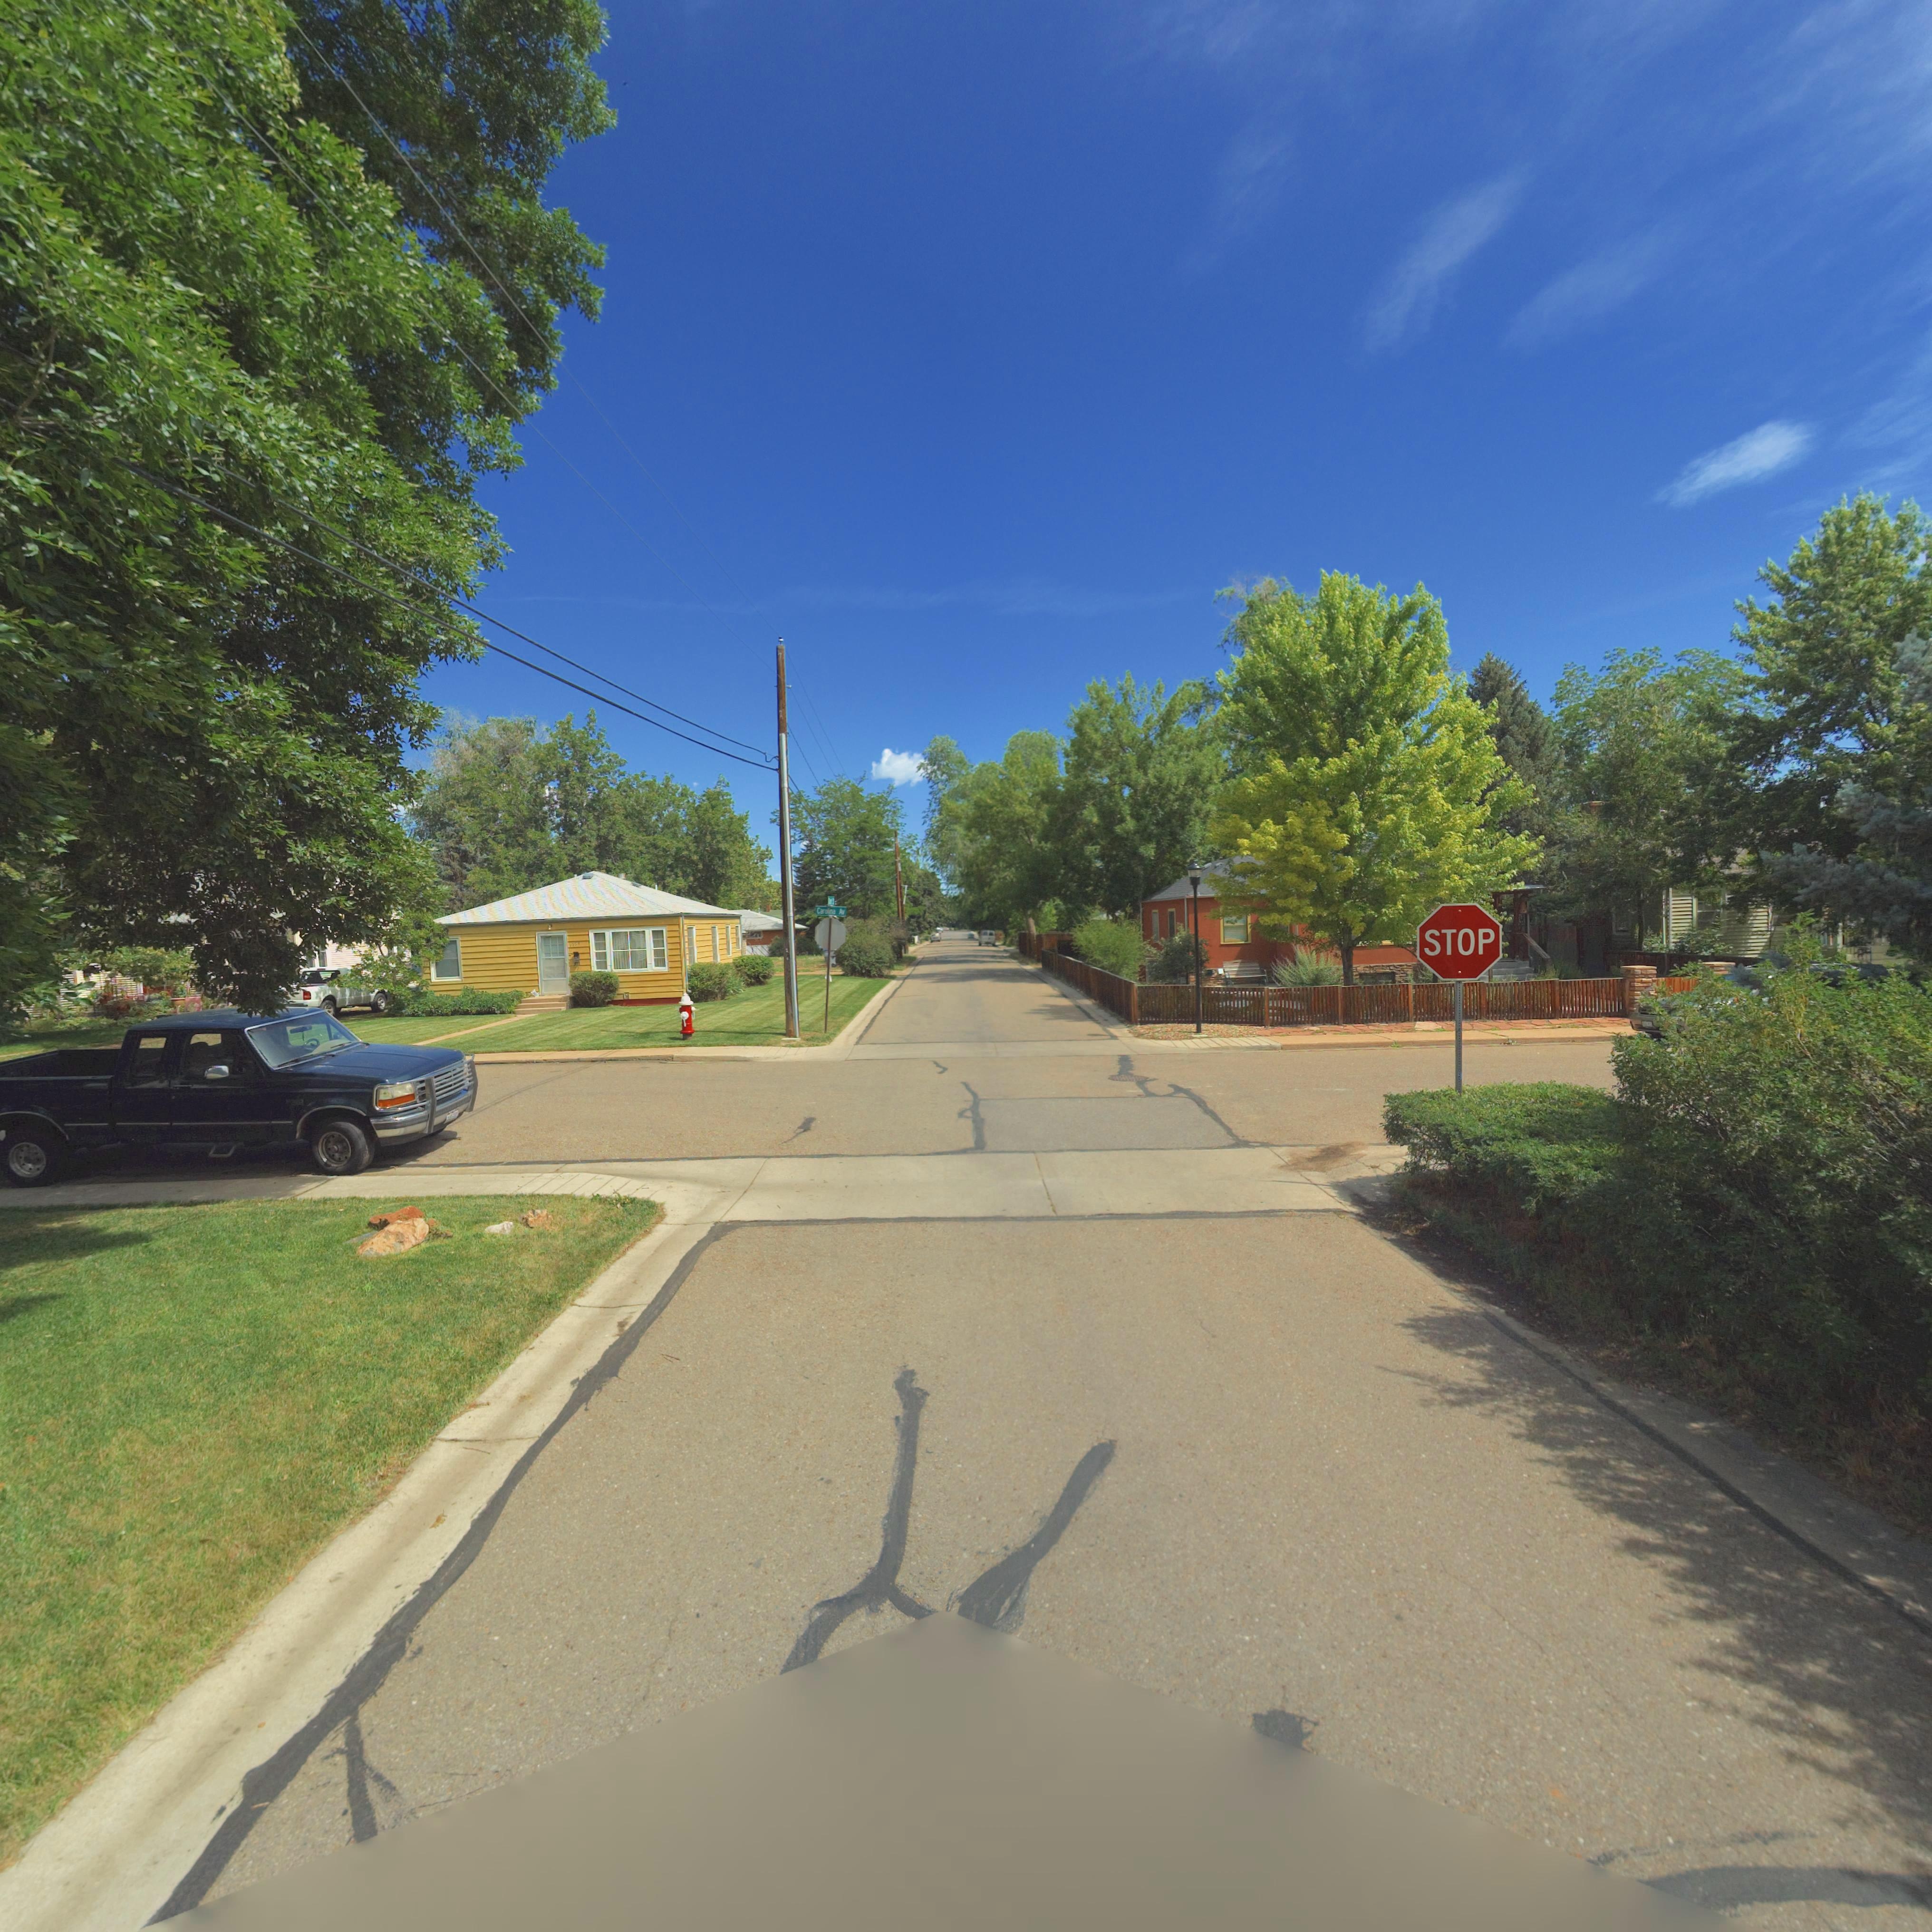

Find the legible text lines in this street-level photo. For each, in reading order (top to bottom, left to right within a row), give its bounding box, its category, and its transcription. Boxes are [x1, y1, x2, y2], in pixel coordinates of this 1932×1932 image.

[816, 907, 845, 915] StreetName: Carolina Av
[570, 941, 580, 947] StreetNumber: 175*